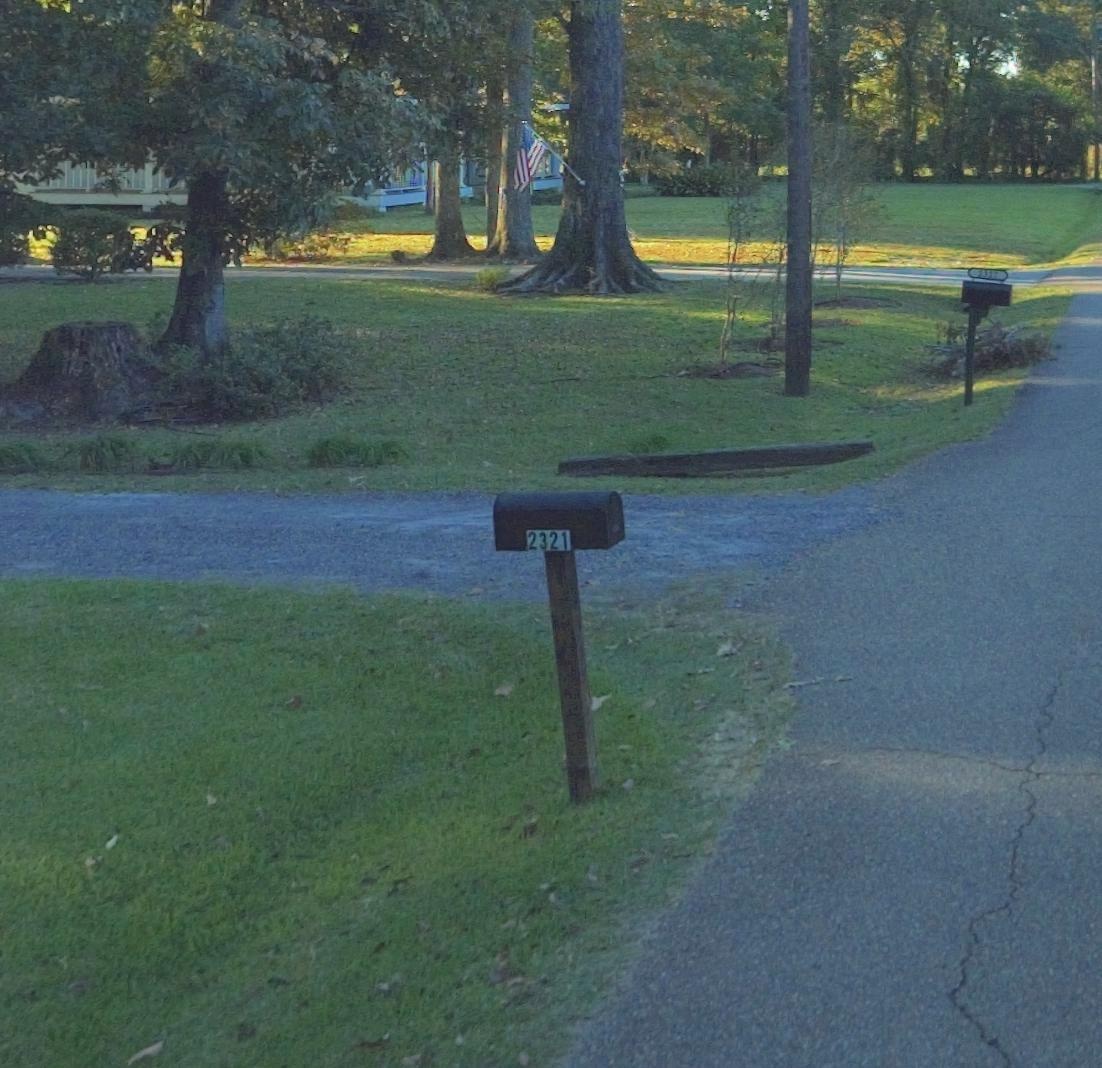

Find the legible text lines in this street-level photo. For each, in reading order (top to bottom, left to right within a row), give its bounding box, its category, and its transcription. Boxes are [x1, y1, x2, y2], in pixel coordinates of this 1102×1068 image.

[973, 266, 1004, 282] StreetNumber: 232*
[526, 529, 569, 552] StreetNumber: 2321